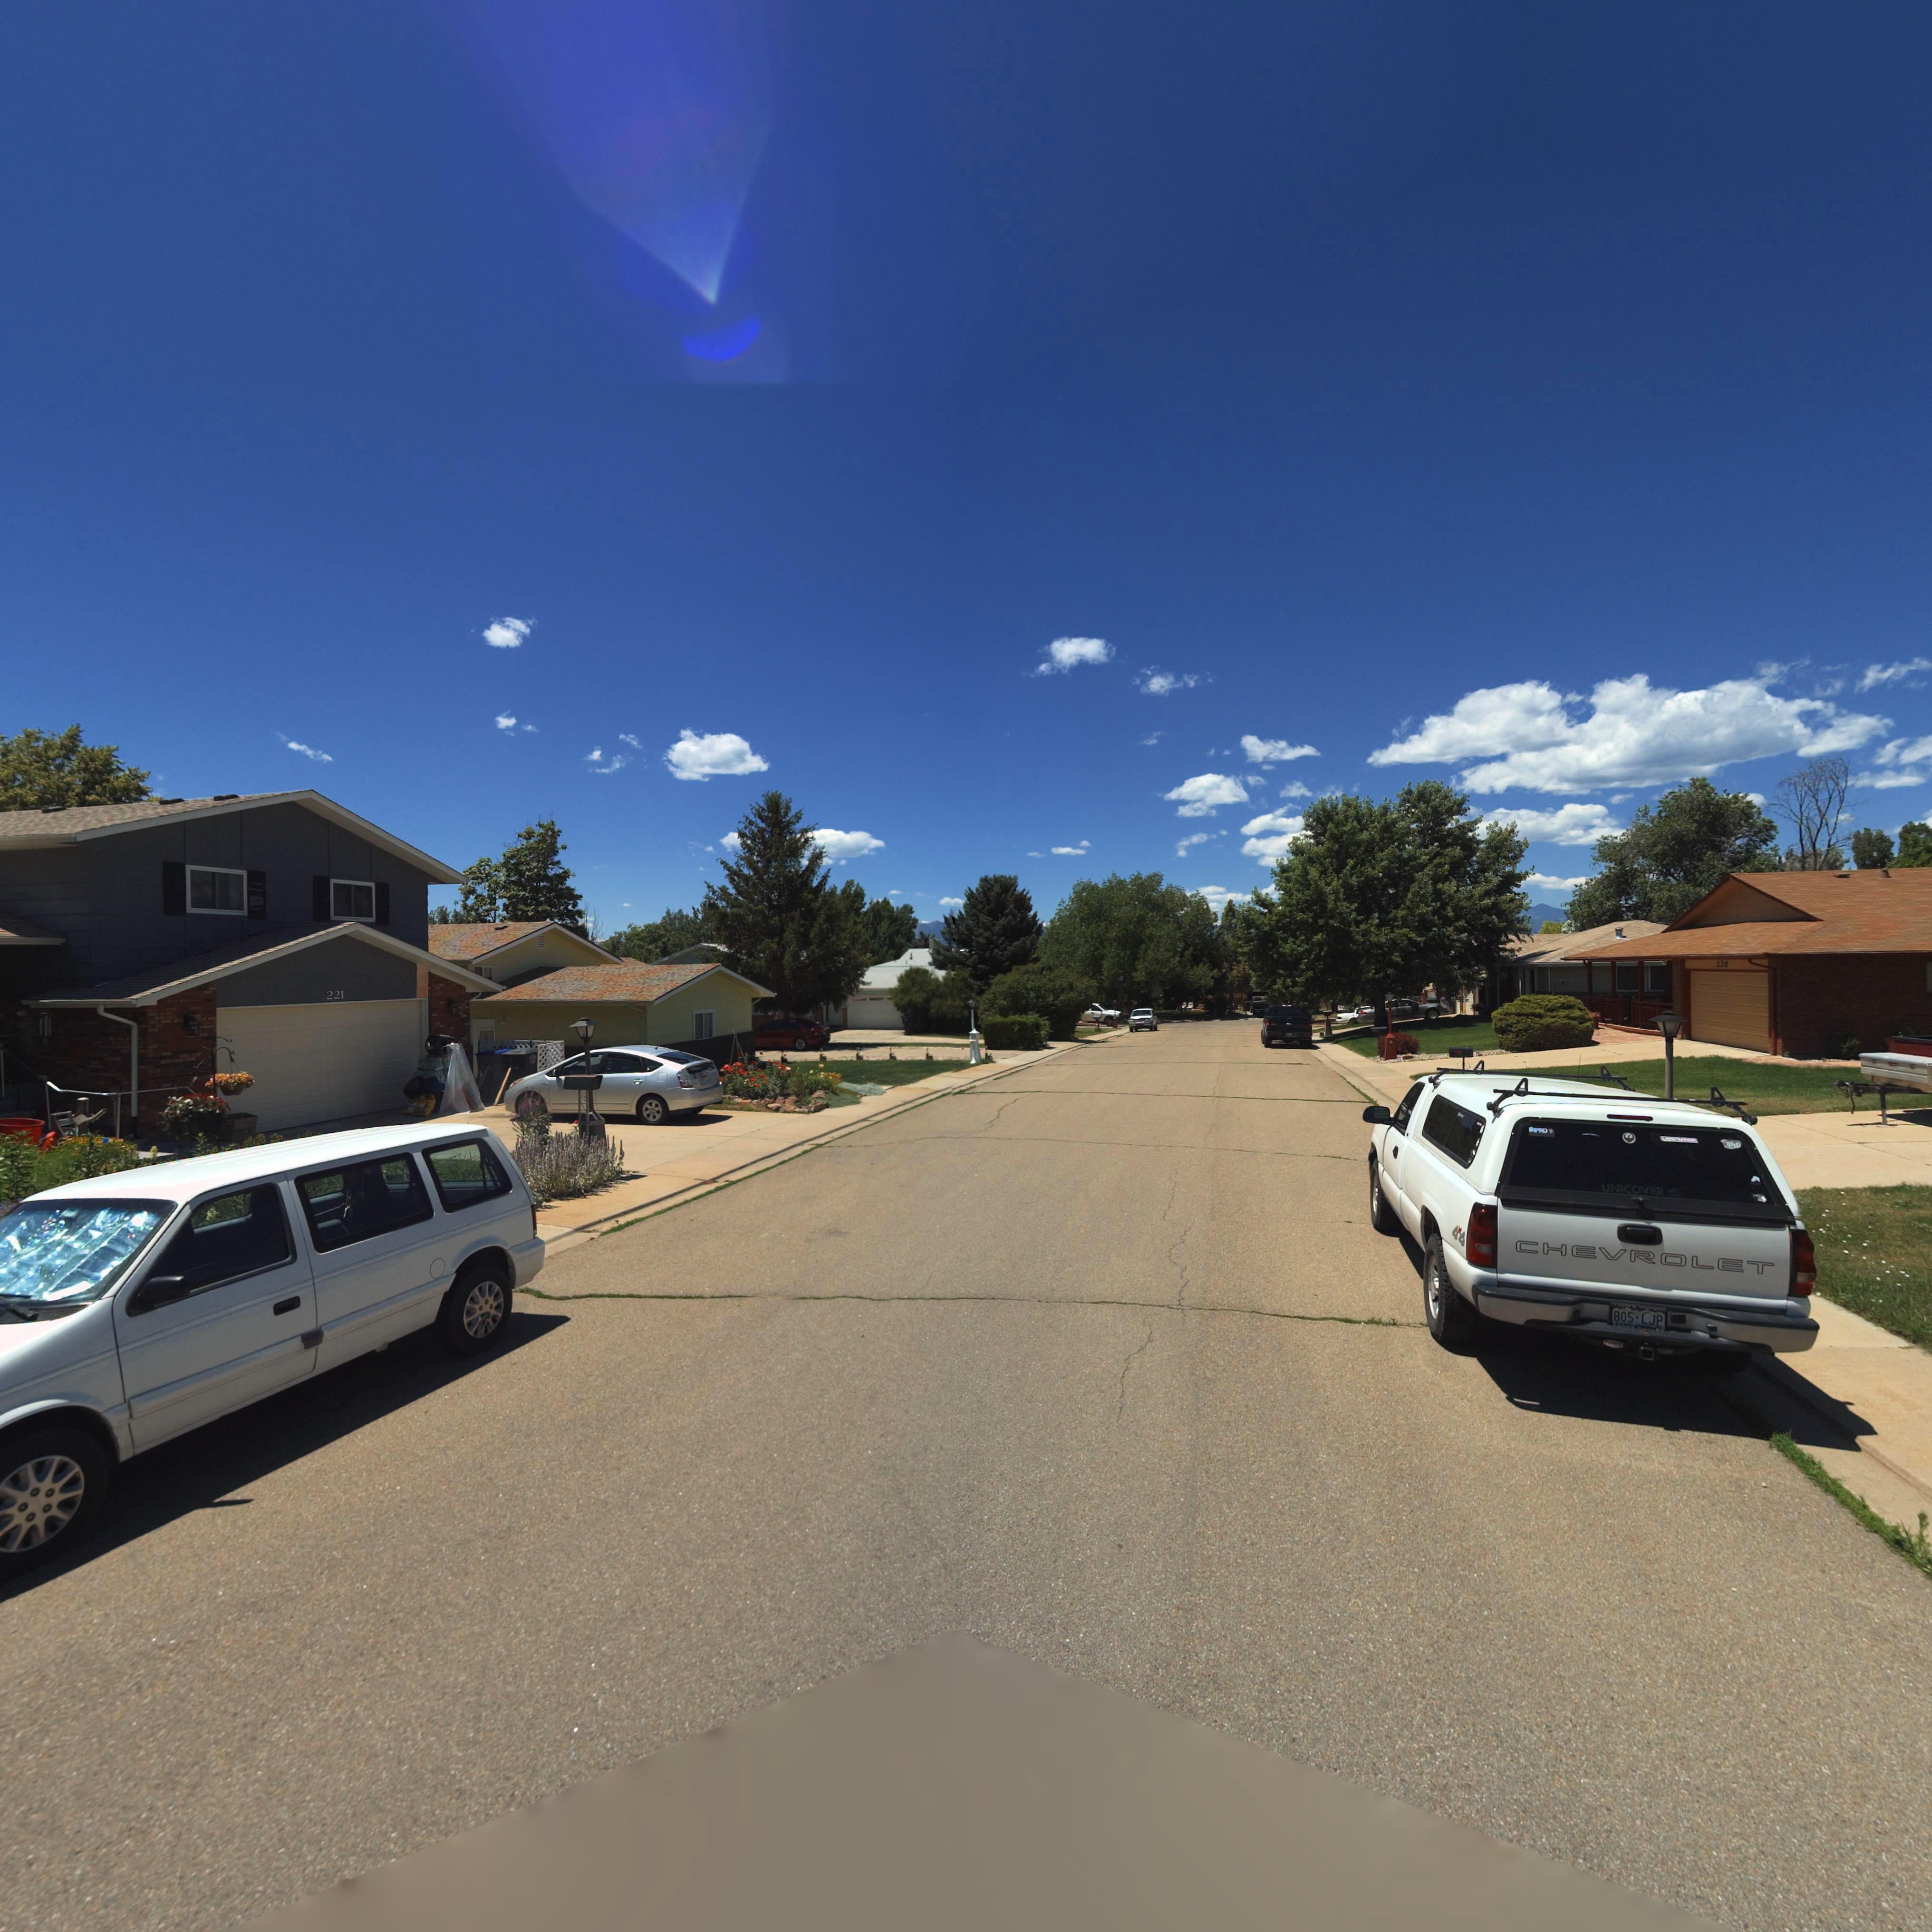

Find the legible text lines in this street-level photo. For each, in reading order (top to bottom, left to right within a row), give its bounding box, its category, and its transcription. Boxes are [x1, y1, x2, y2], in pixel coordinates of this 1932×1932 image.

[1716, 960, 1728, 967] StreetNumber: 228
[326, 990, 344, 1000] StreetNumber: 221